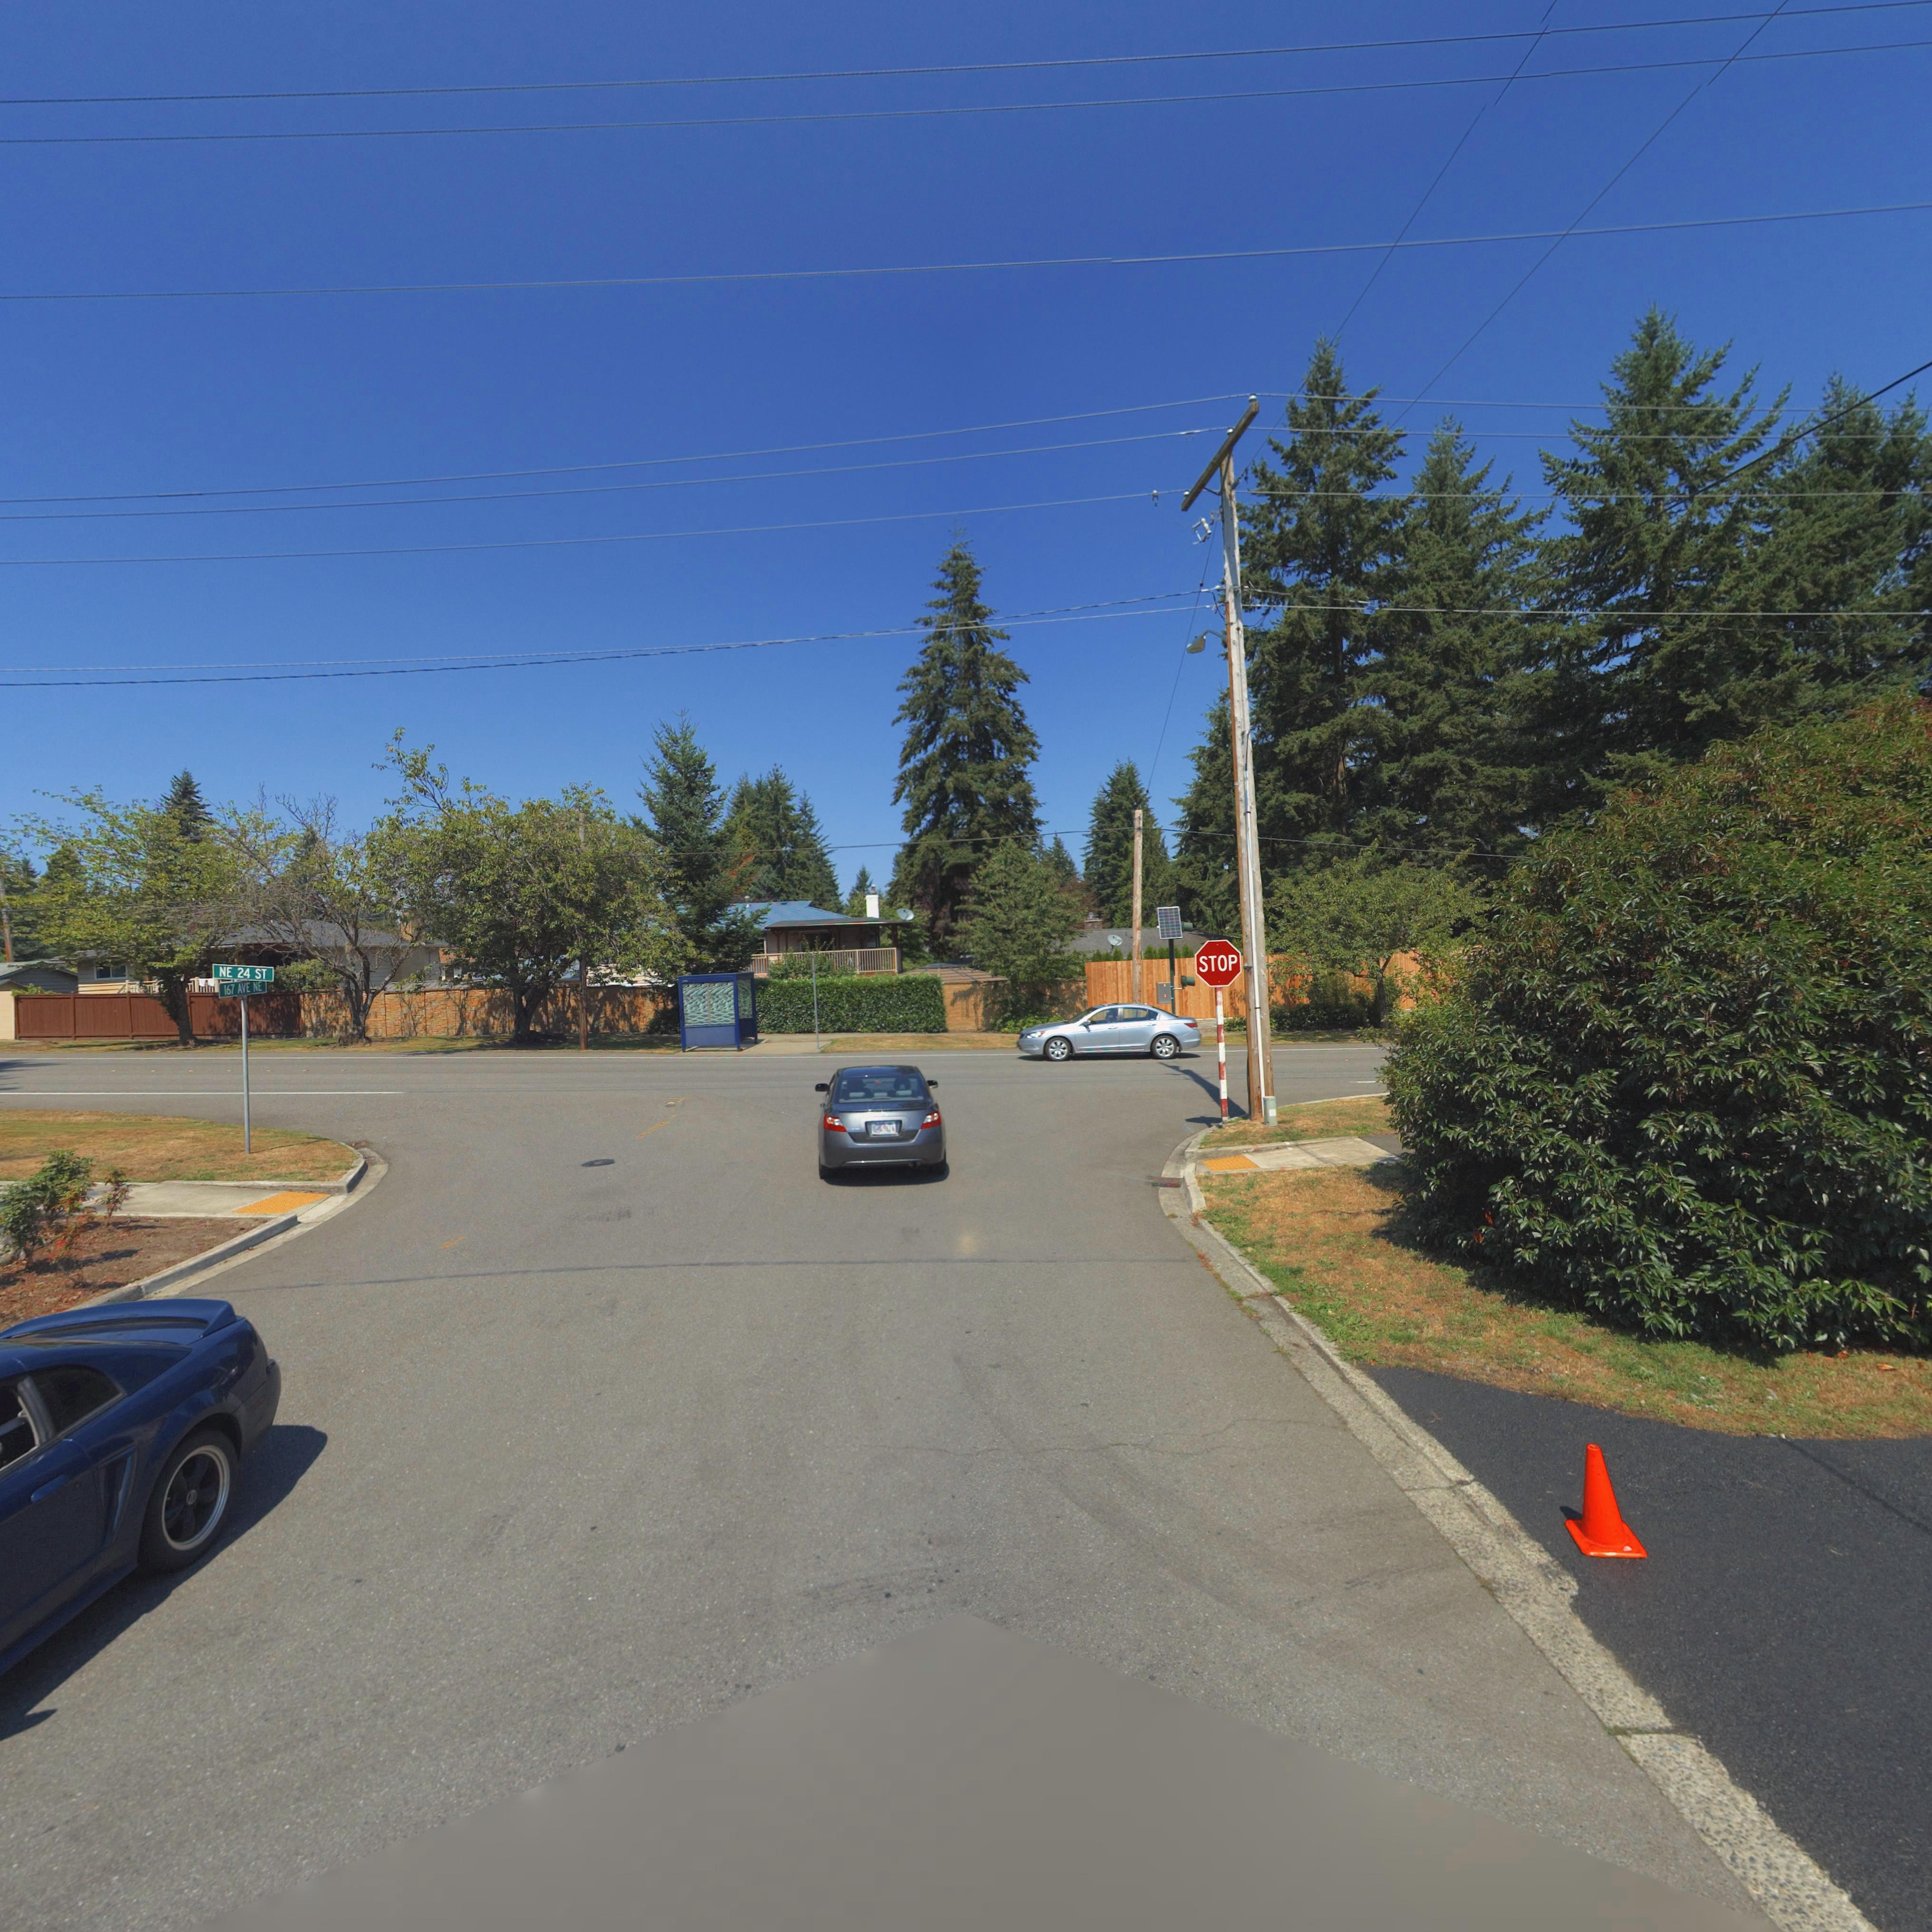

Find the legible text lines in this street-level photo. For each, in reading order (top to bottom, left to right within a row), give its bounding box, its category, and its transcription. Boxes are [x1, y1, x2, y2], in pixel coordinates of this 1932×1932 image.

[218, 966, 269, 979] StreetName: NE 24 ST
[222, 981, 263, 995] StreetName: 167 AVE NE